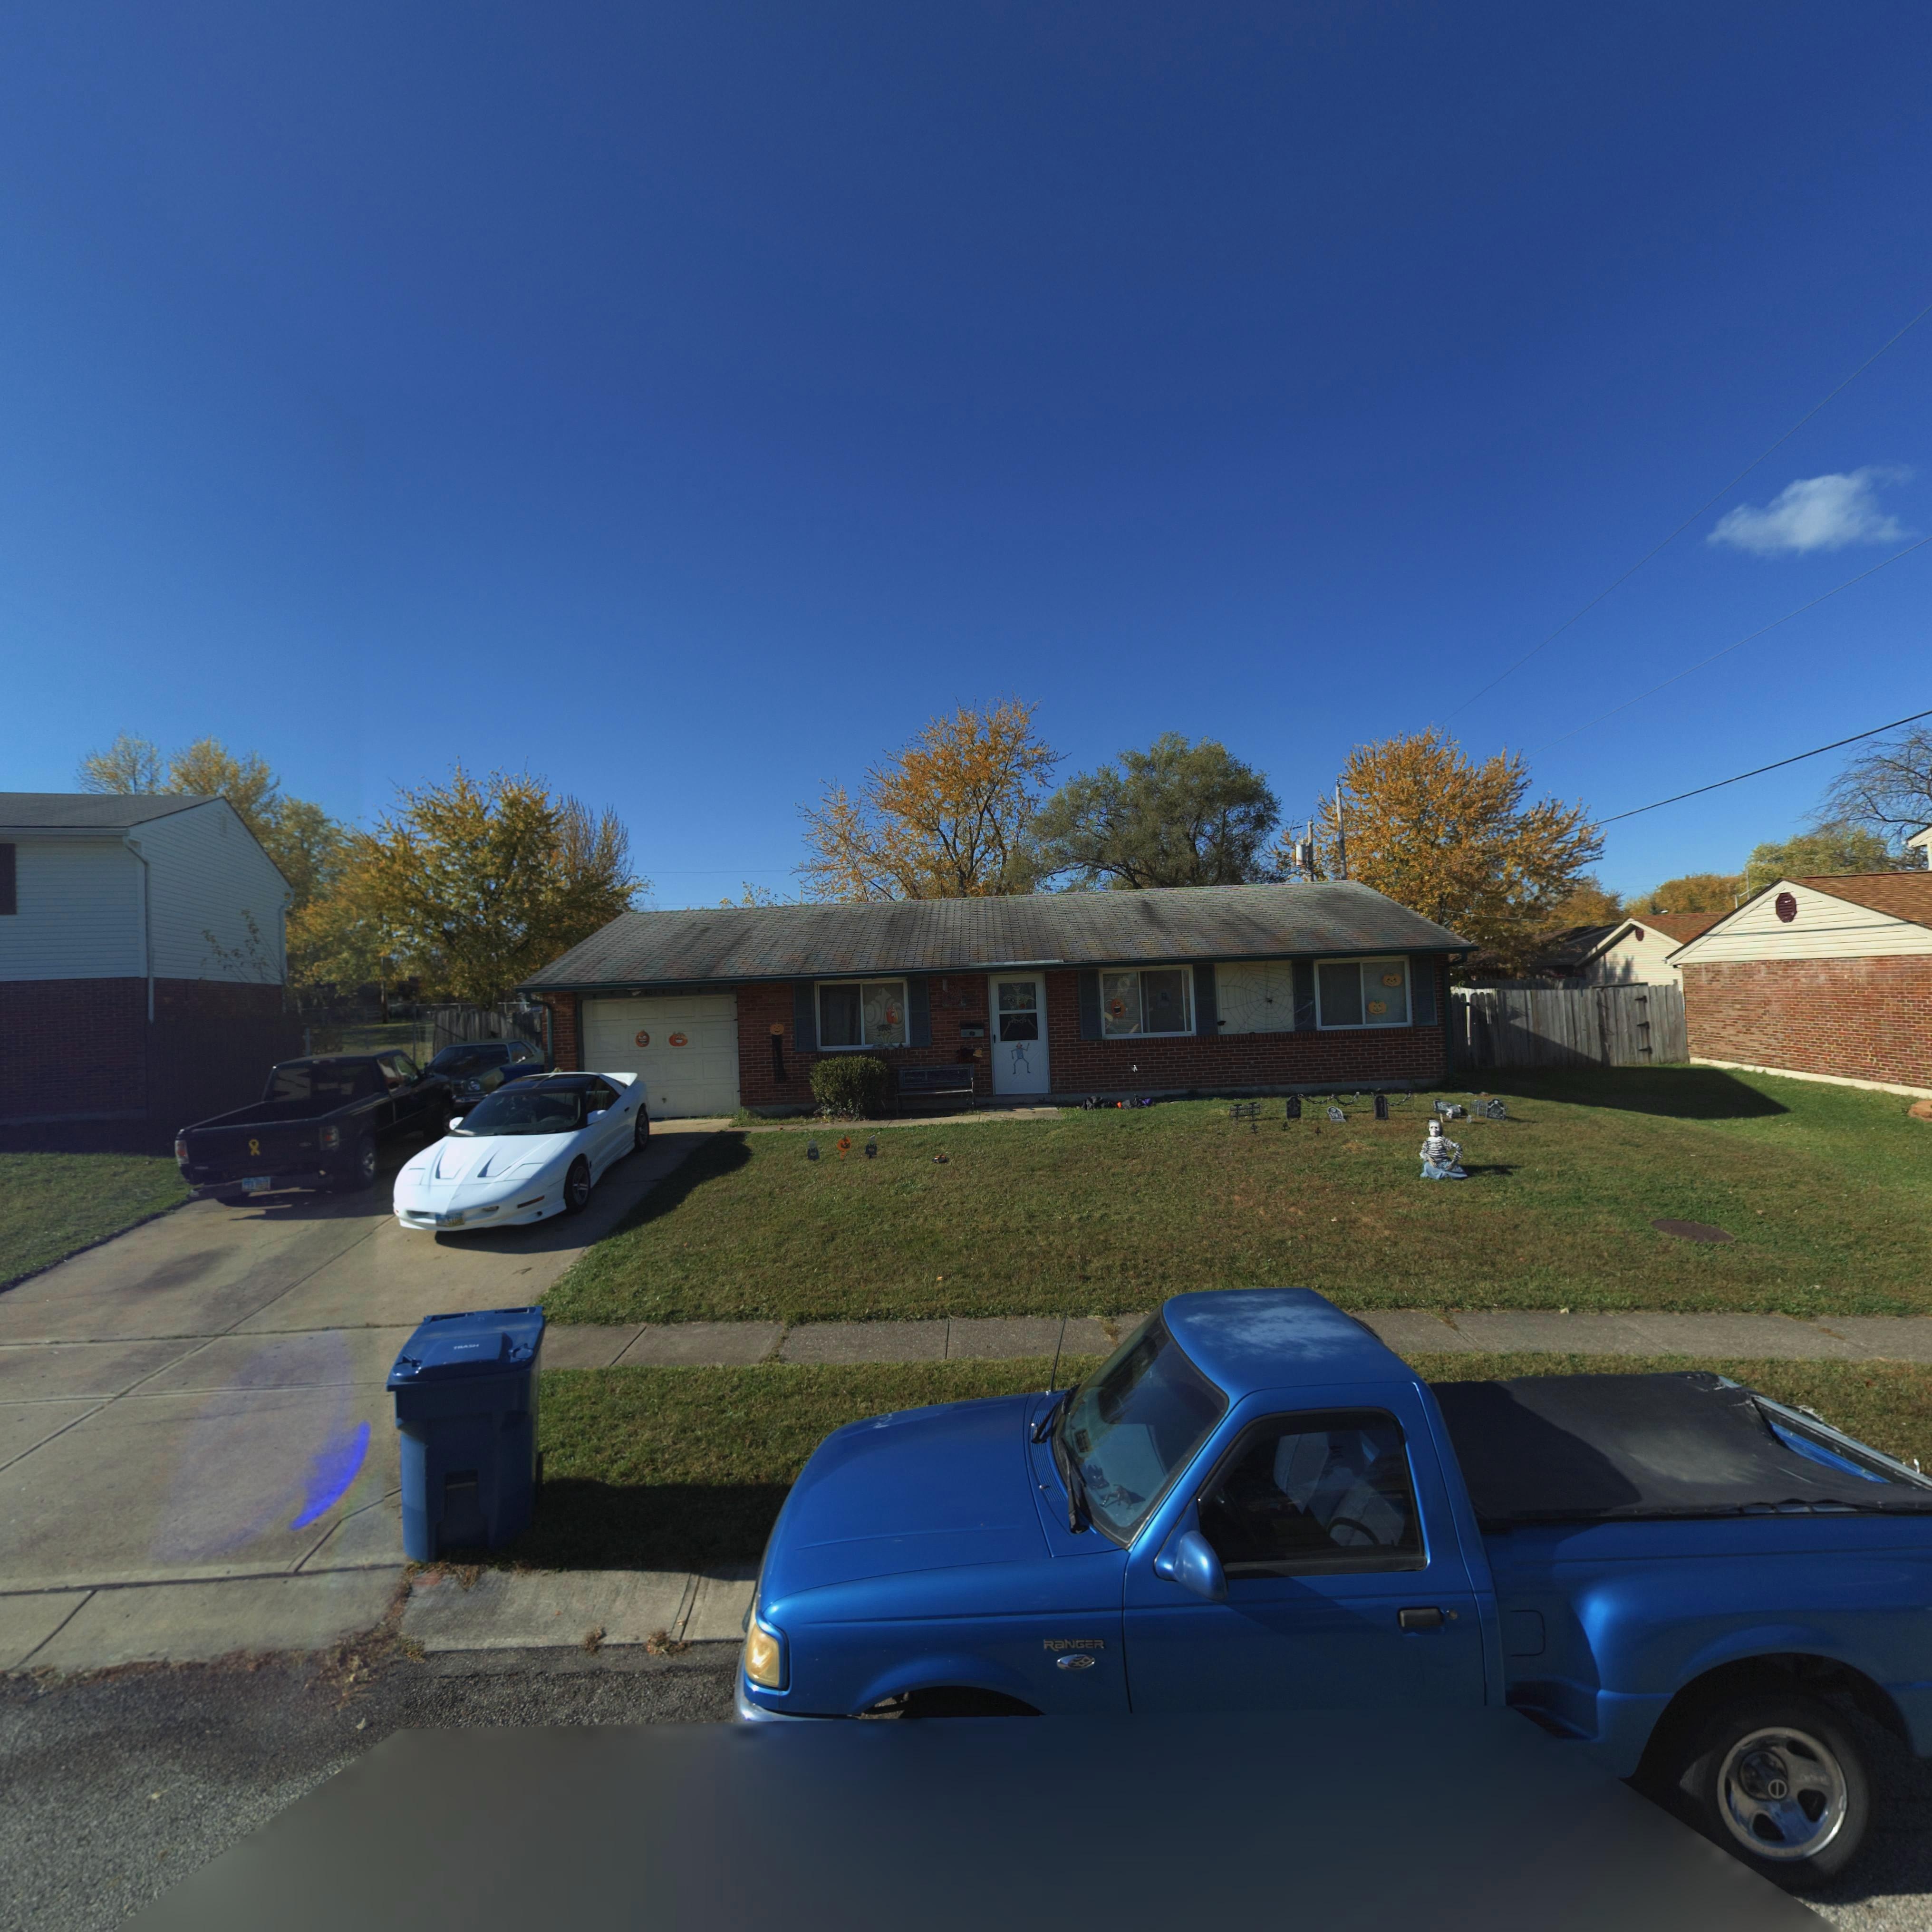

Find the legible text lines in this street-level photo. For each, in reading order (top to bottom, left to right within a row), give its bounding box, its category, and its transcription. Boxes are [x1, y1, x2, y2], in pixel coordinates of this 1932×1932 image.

[642, 988, 658, 997] StreetNumber: 6*4